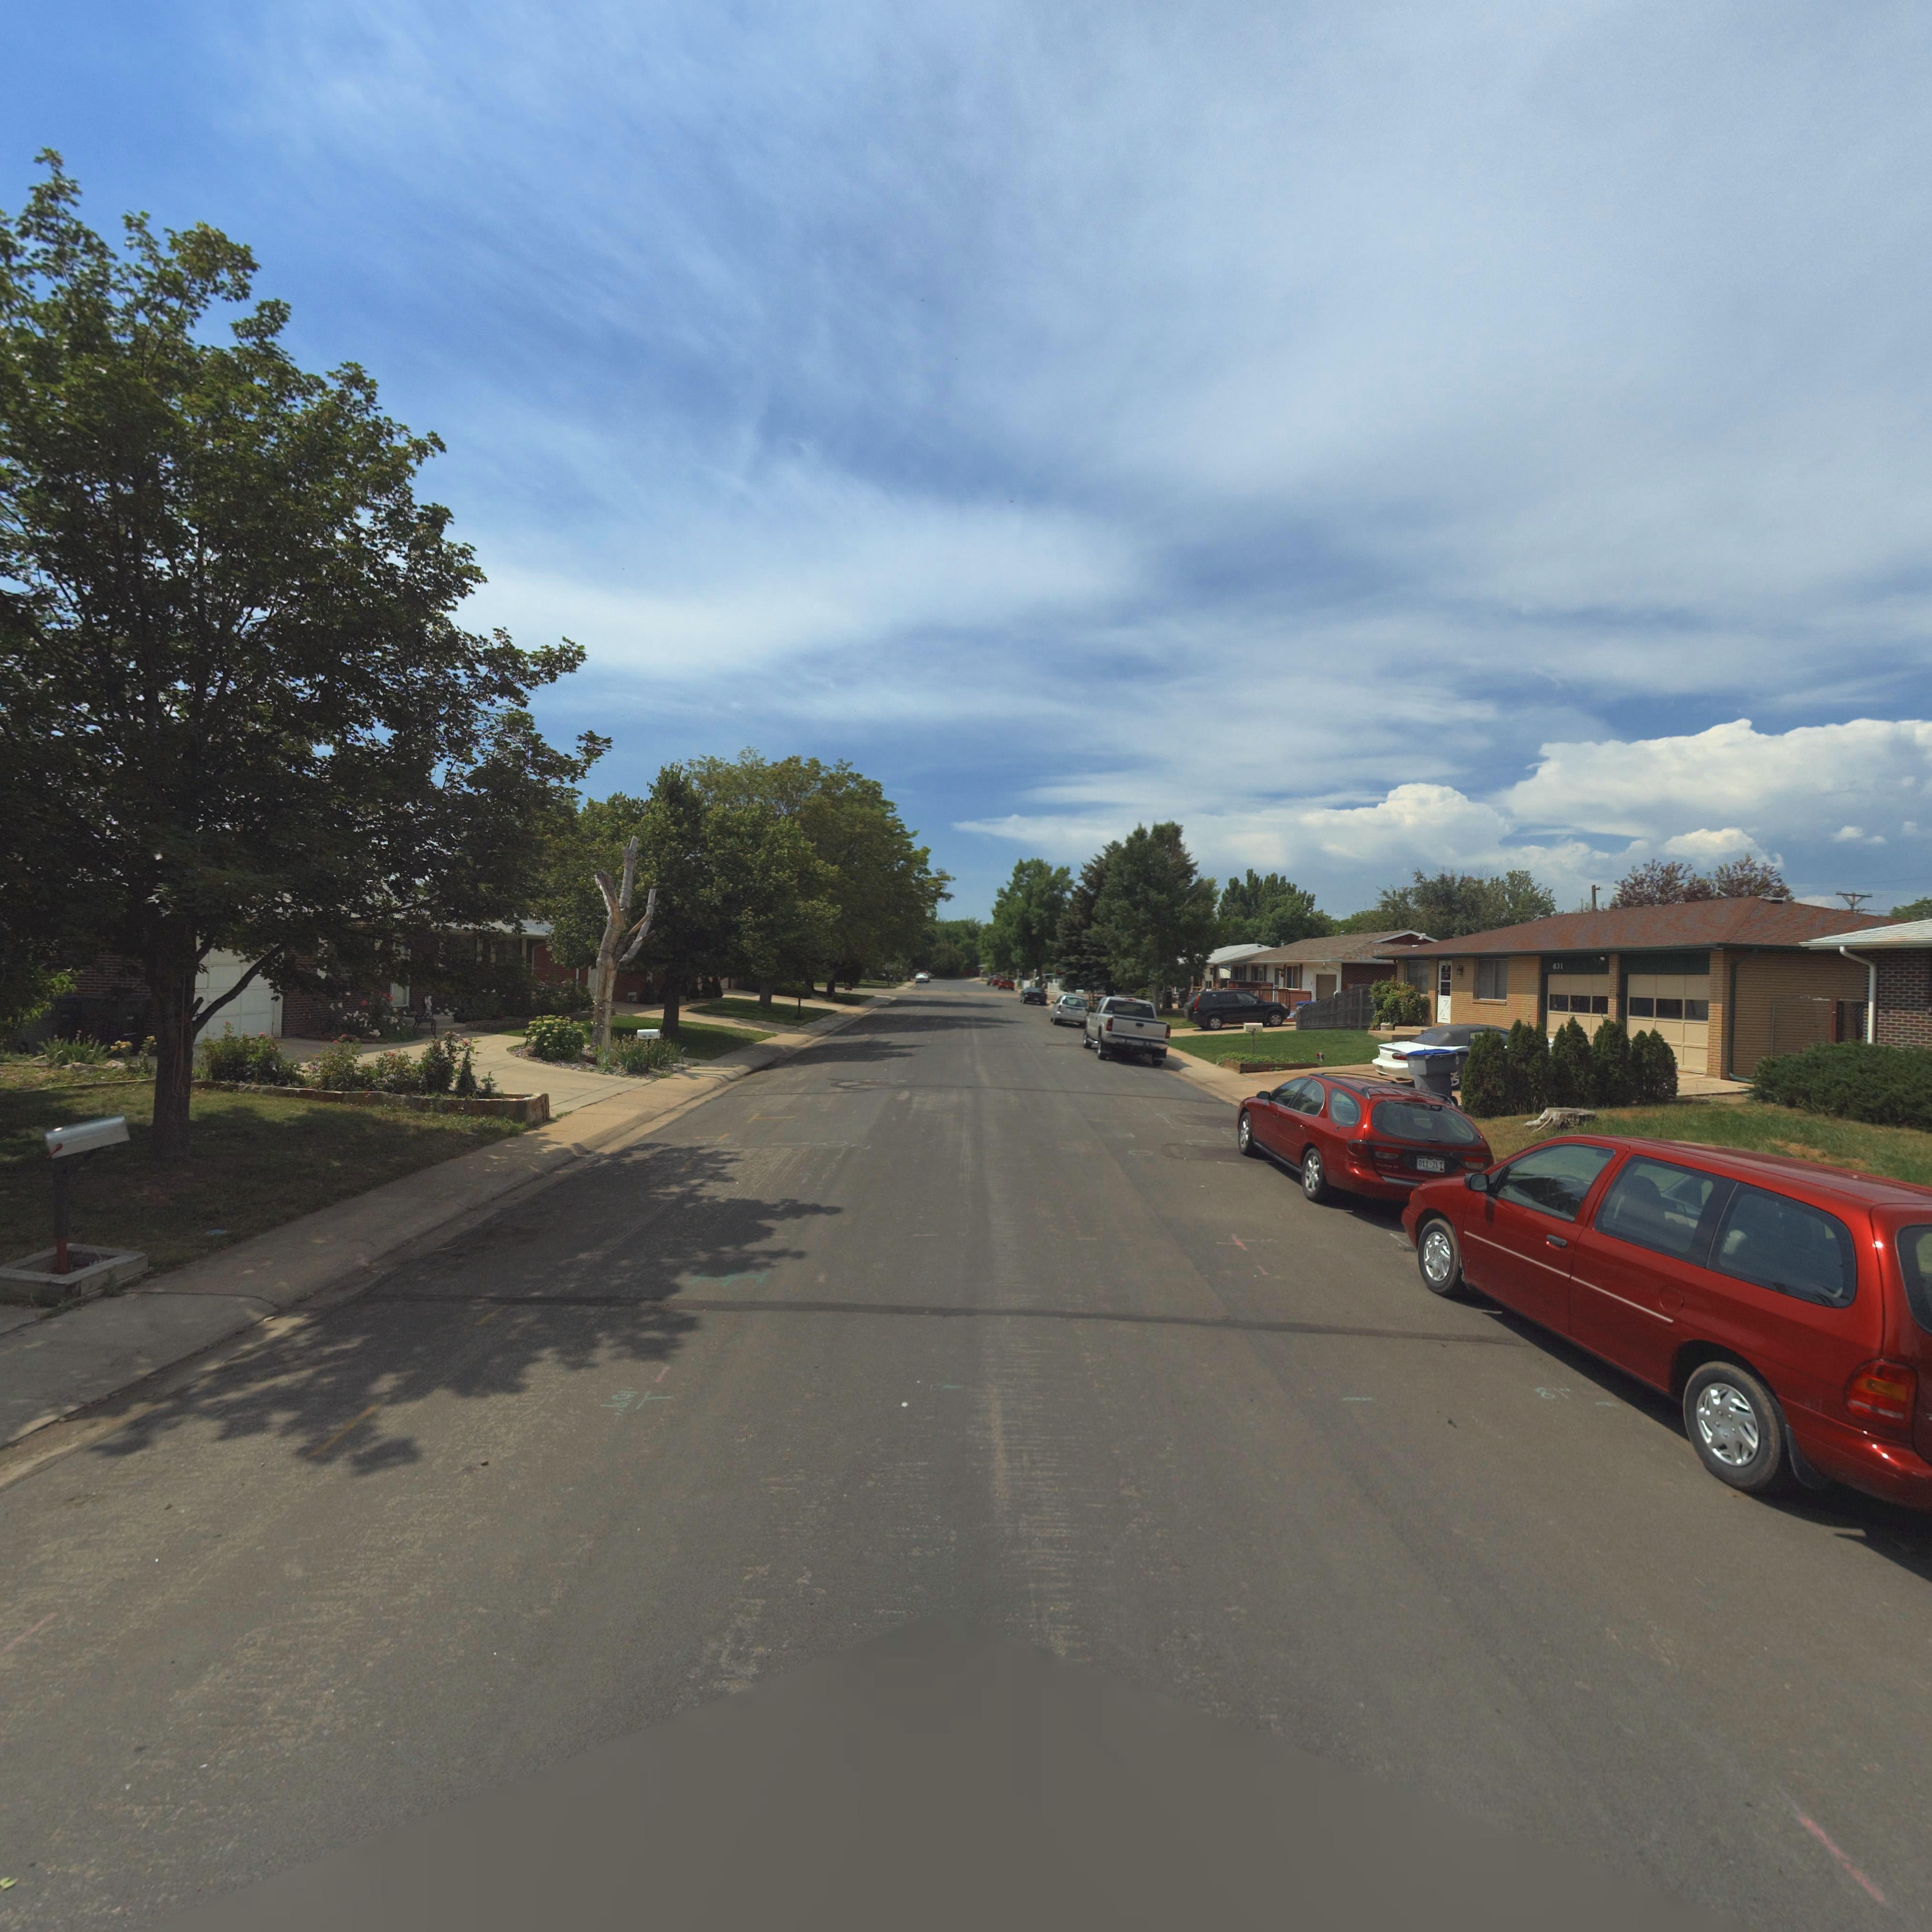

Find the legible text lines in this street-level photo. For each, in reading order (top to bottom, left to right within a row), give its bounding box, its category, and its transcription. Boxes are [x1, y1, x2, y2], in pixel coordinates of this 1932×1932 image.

[1552, 963, 1563, 969] StreetNumber: 831